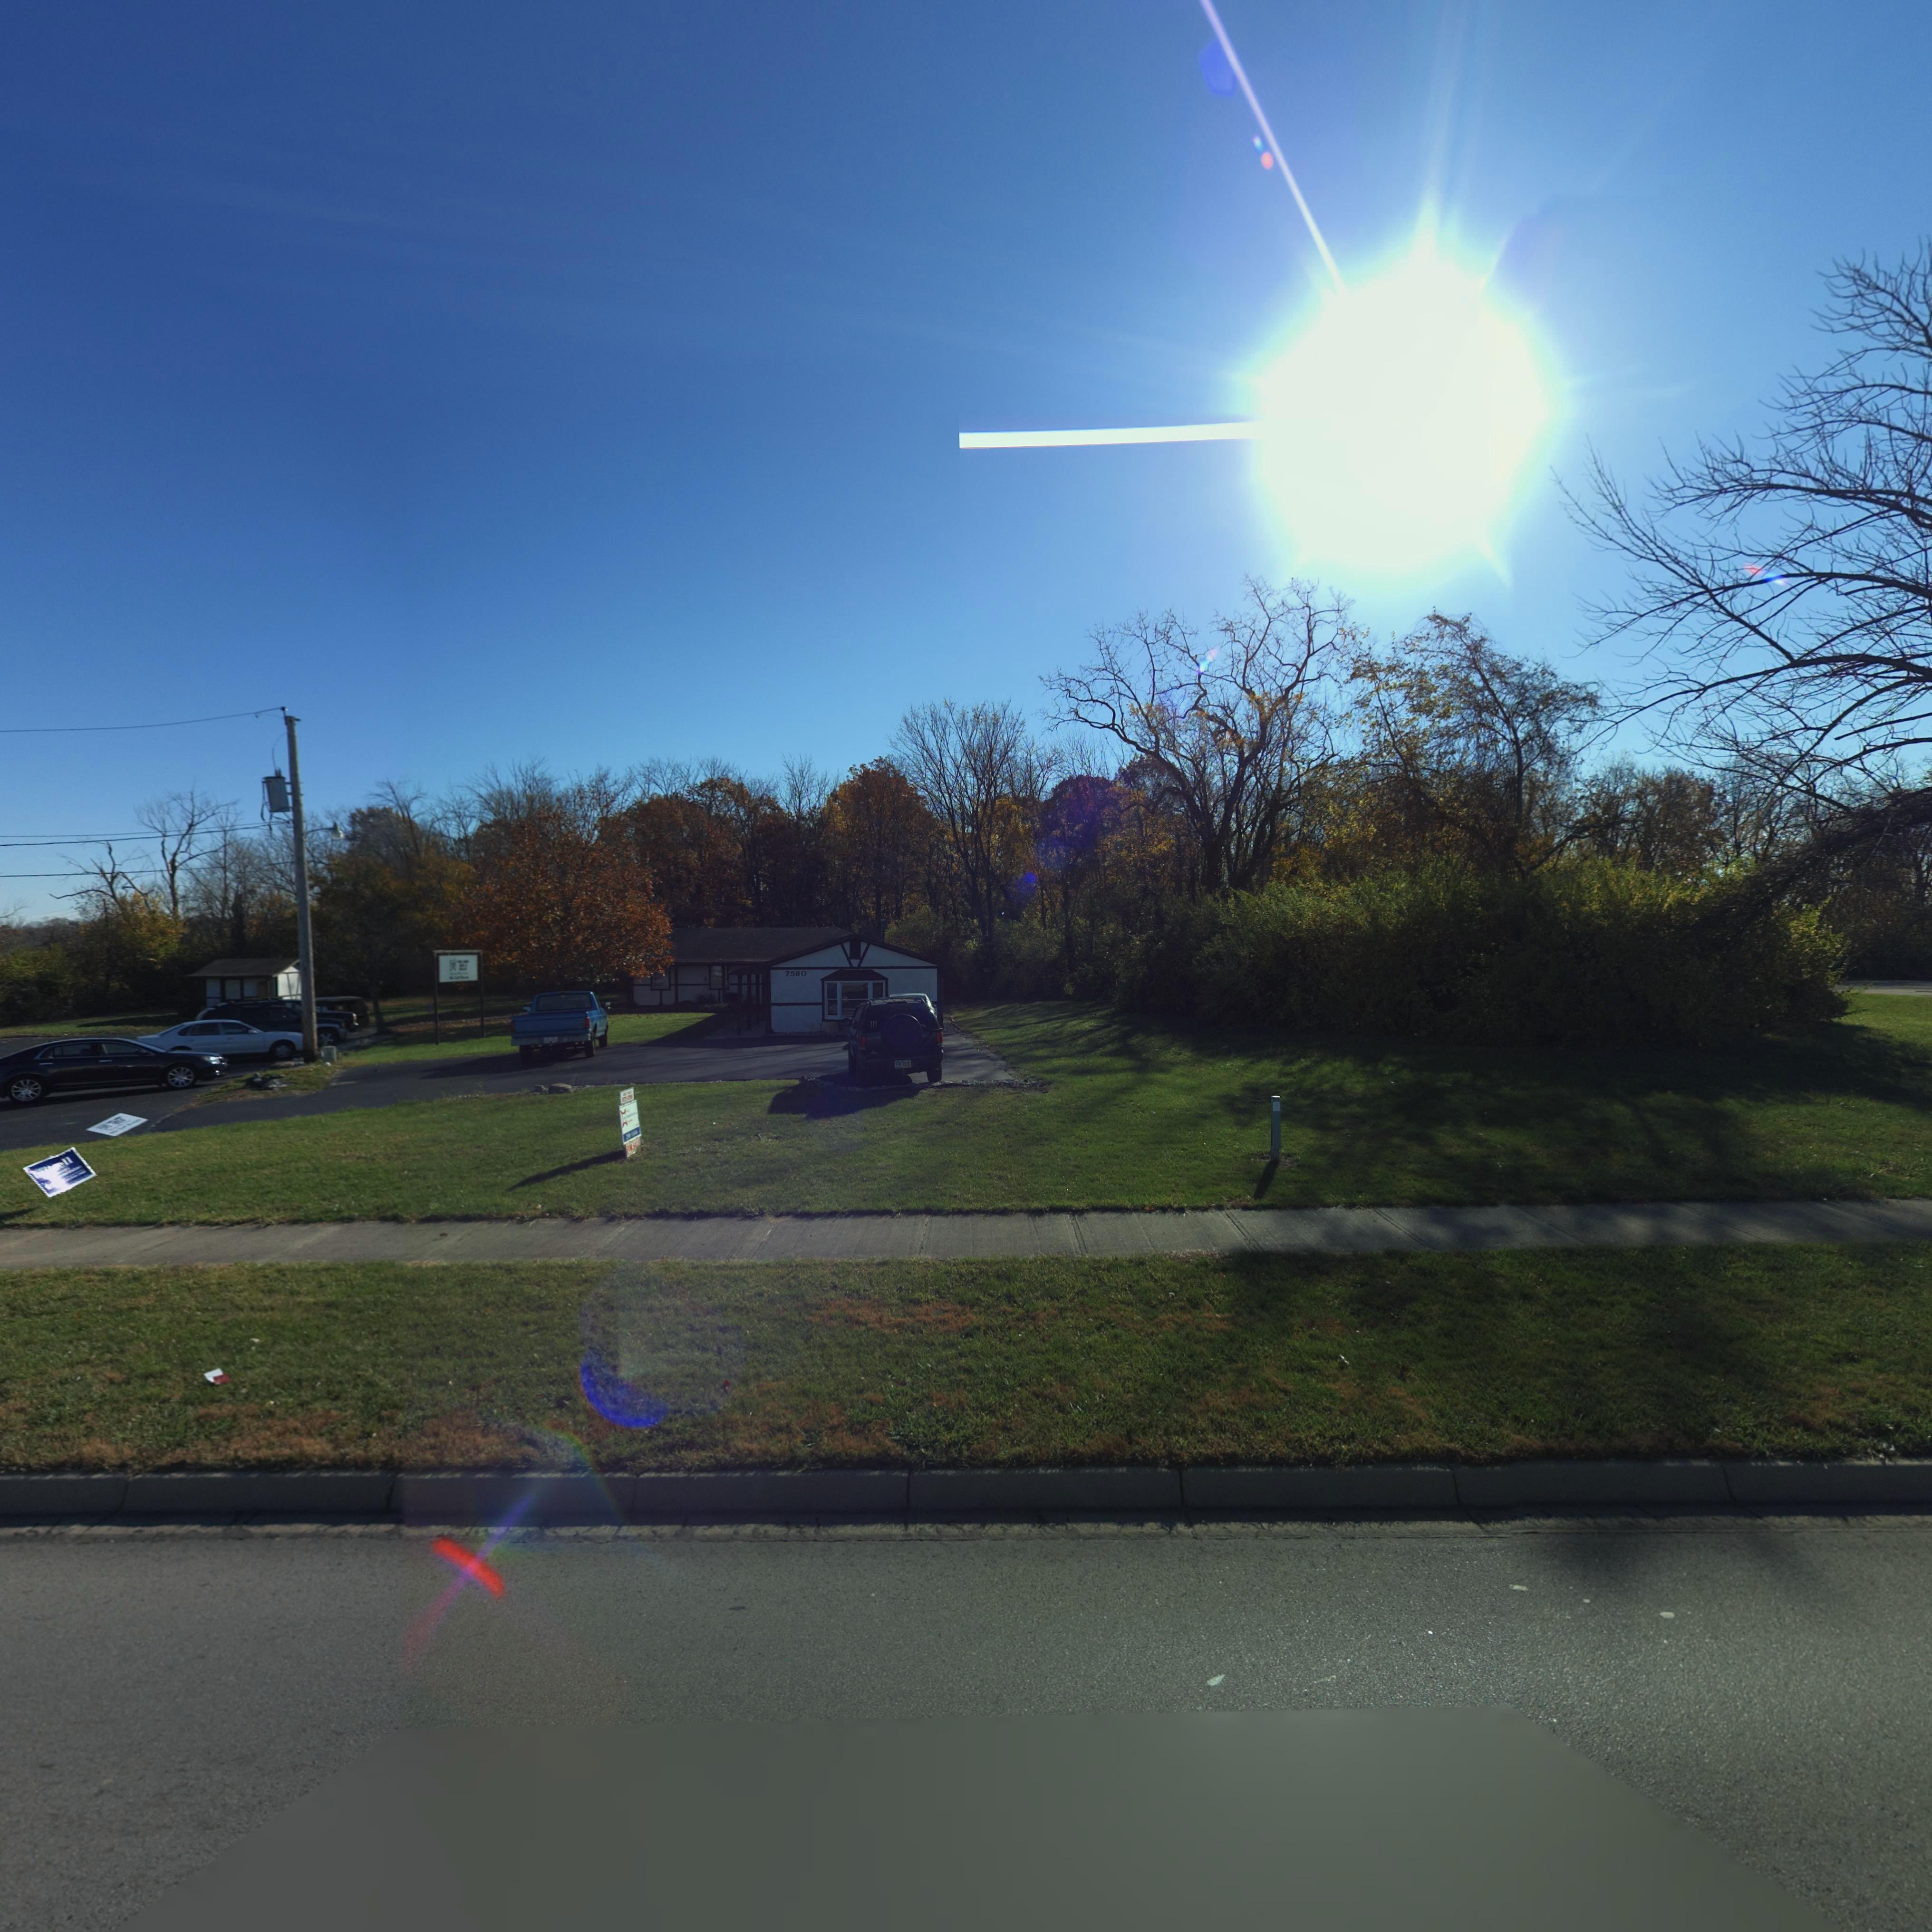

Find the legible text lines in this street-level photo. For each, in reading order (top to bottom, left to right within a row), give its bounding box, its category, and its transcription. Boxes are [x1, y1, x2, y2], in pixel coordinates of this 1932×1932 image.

[784, 970, 808, 977] StreetNumber: 7580